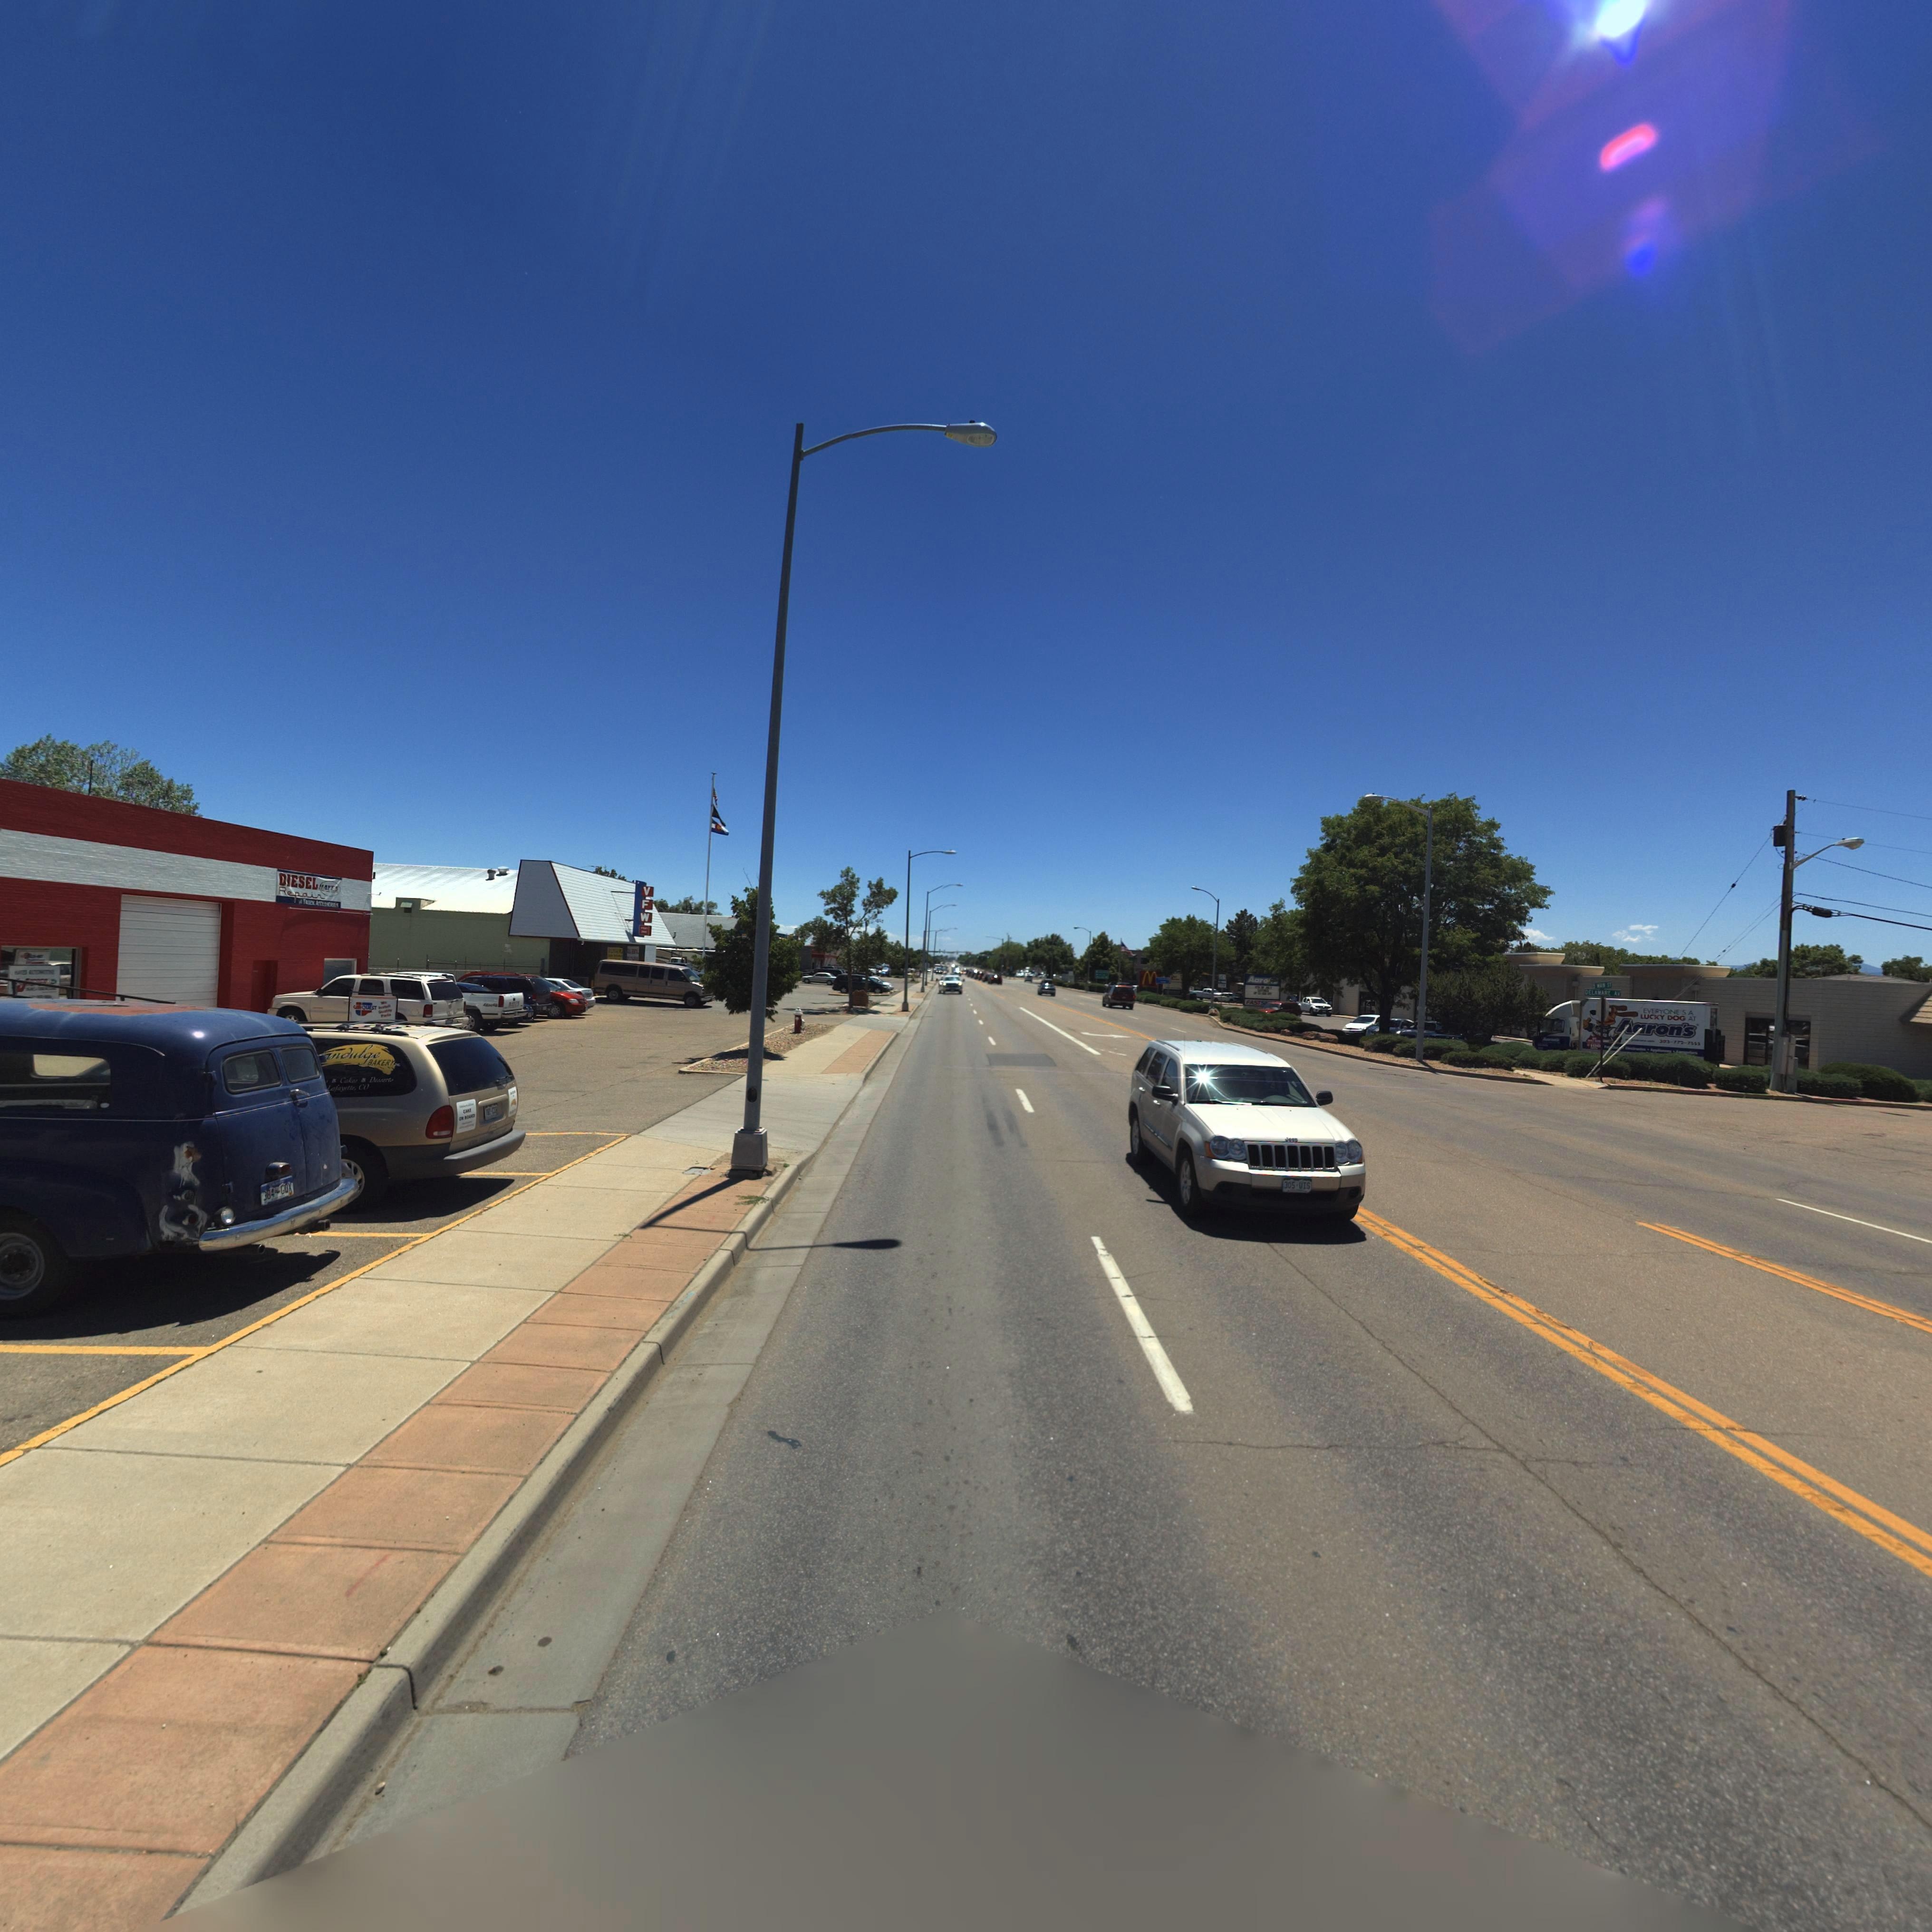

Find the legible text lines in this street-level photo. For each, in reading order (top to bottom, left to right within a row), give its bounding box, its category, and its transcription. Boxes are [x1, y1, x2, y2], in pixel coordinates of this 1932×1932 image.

[278, 873, 318, 890] BusinessName: DIESEL
[319, 884, 338, 892] BusinessName: HAYES
[278, 886, 326, 903] BusinessName: Repair
[640, 886, 650, 922] BusinessName: VFW
[1247, 976, 1271, 983] BusinessName: Aaro
[1593, 982, 1611, 988] StreetName: S M**N ST
[1585, 989, 1621, 996] StreetName: DELAWARE AV
[1246, 1000, 1265, 1005] BusinessName: FAST S